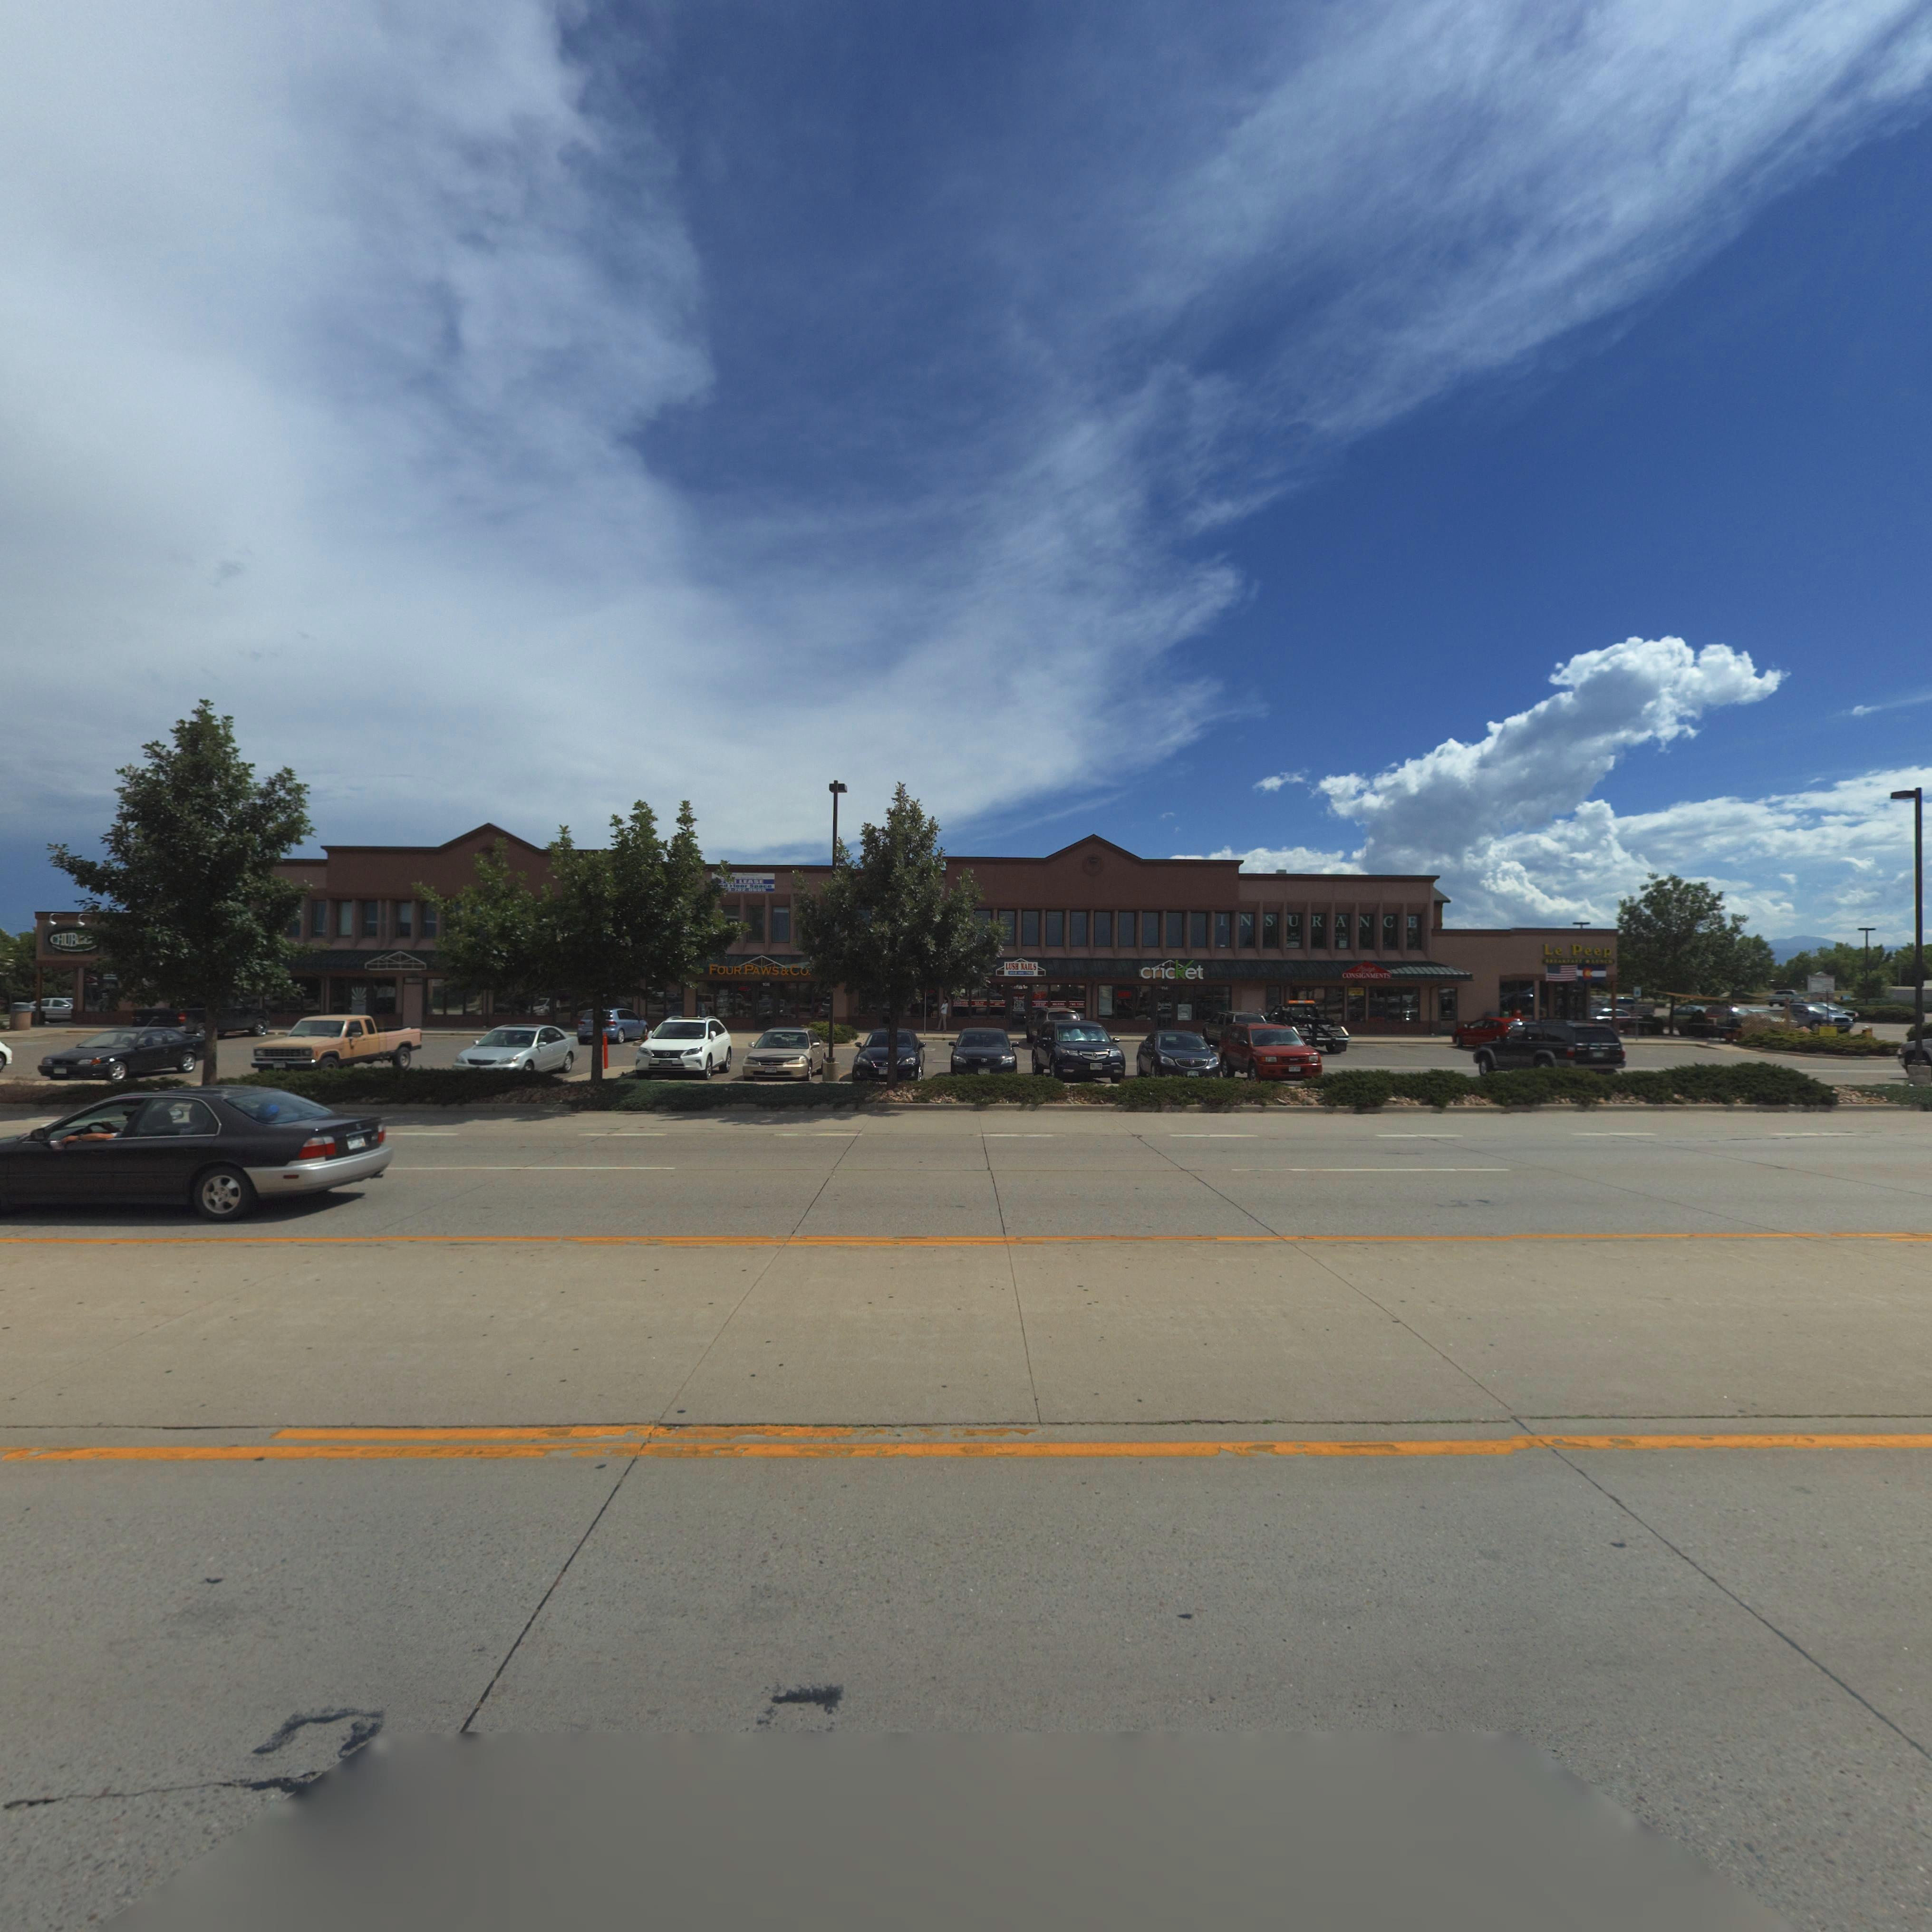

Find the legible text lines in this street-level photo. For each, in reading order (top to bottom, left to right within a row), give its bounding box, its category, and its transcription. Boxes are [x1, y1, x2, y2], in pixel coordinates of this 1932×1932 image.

[49, 932, 77, 947] BusinessName: CHUB
[1544, 943, 1612, 958] BusinessName: Le Peep
[709, 963, 810, 976] BusinessName: FOUR PAWS & CO.
[1005, 962, 1036, 970] BusinessName: LUSH NAILS
[1140, 959, 1204, 979] BusinessName: cricket
[1355, 965, 1377, 972] BusinessName: L********
[1342, 972, 1391, 978] BusinessName: CONSIGNMENTS
[762, 982, 770, 986] StreetNumber: 1***
[1161, 986, 1168, 990] StreetNumber: 1*4